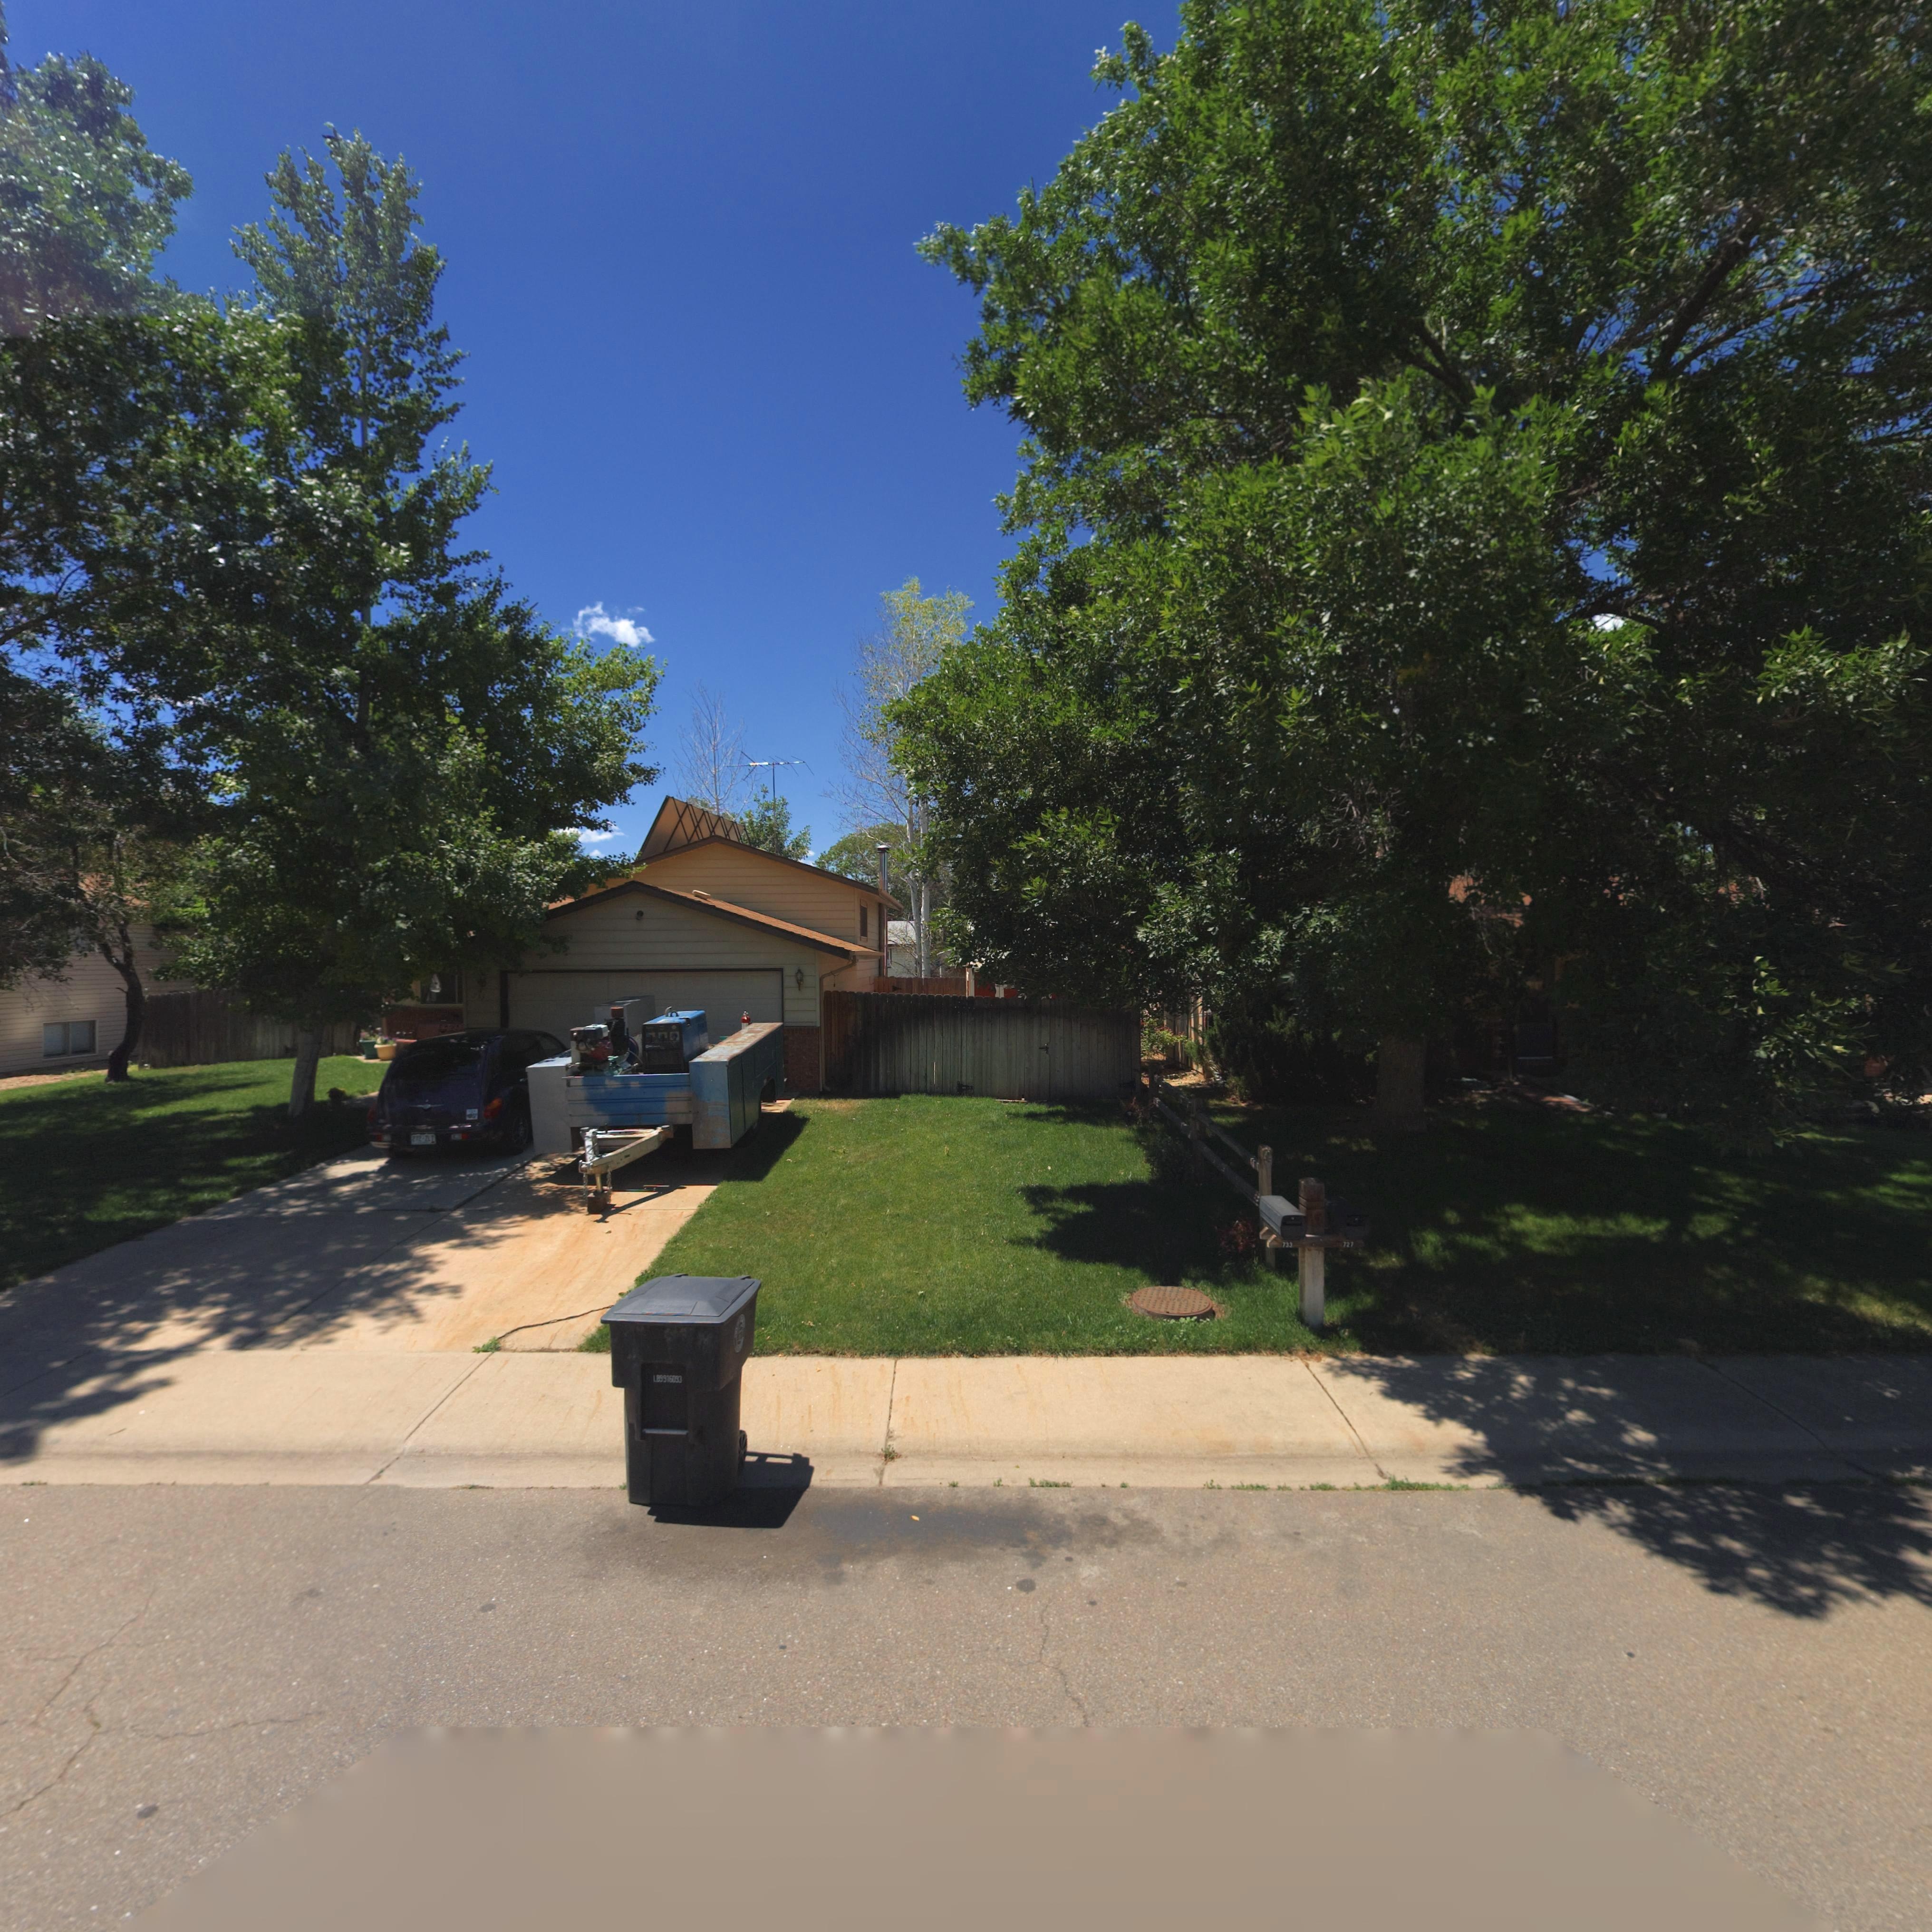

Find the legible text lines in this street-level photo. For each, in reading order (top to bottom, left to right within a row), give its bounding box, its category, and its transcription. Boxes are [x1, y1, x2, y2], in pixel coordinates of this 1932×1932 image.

[1282, 1241, 1293, 1248] StreetNumber: 733